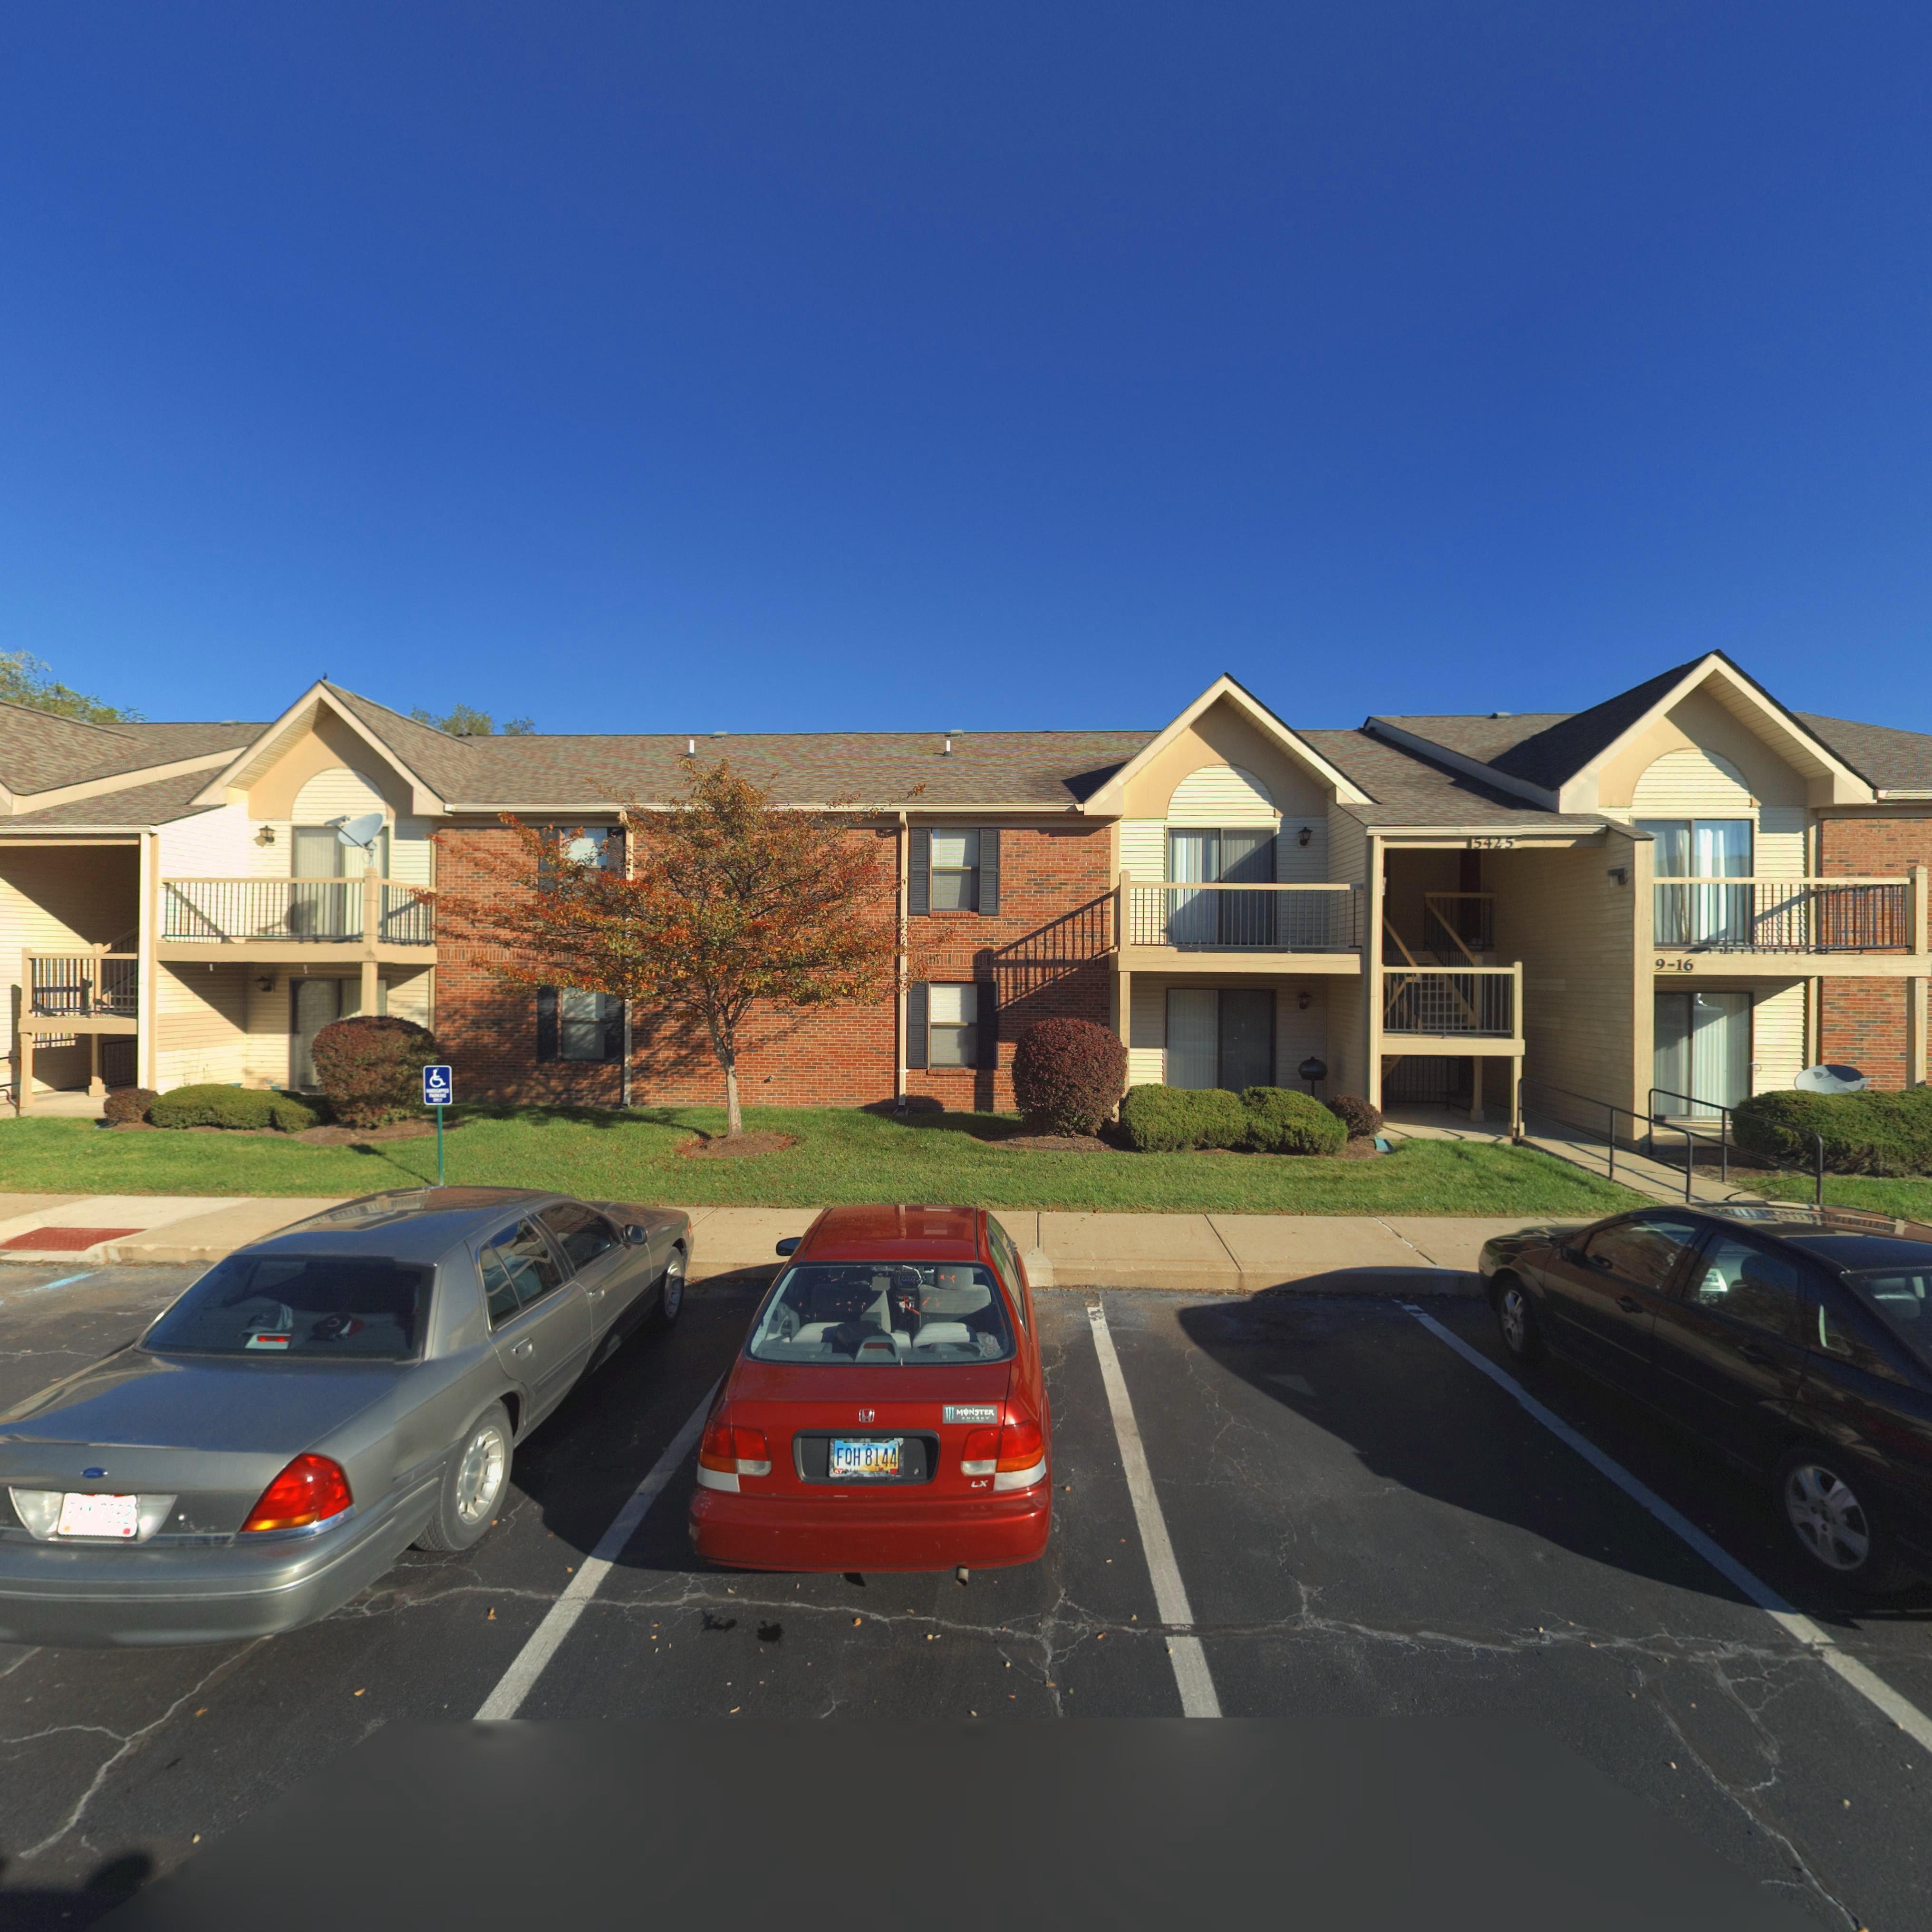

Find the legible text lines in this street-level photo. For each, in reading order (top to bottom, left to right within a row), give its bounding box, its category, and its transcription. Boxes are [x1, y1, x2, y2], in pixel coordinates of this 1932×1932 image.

[1473, 837, 1514, 849] StreetNumber: 5425
[1654, 957, 1694, 971] StreetNumber: 9-16